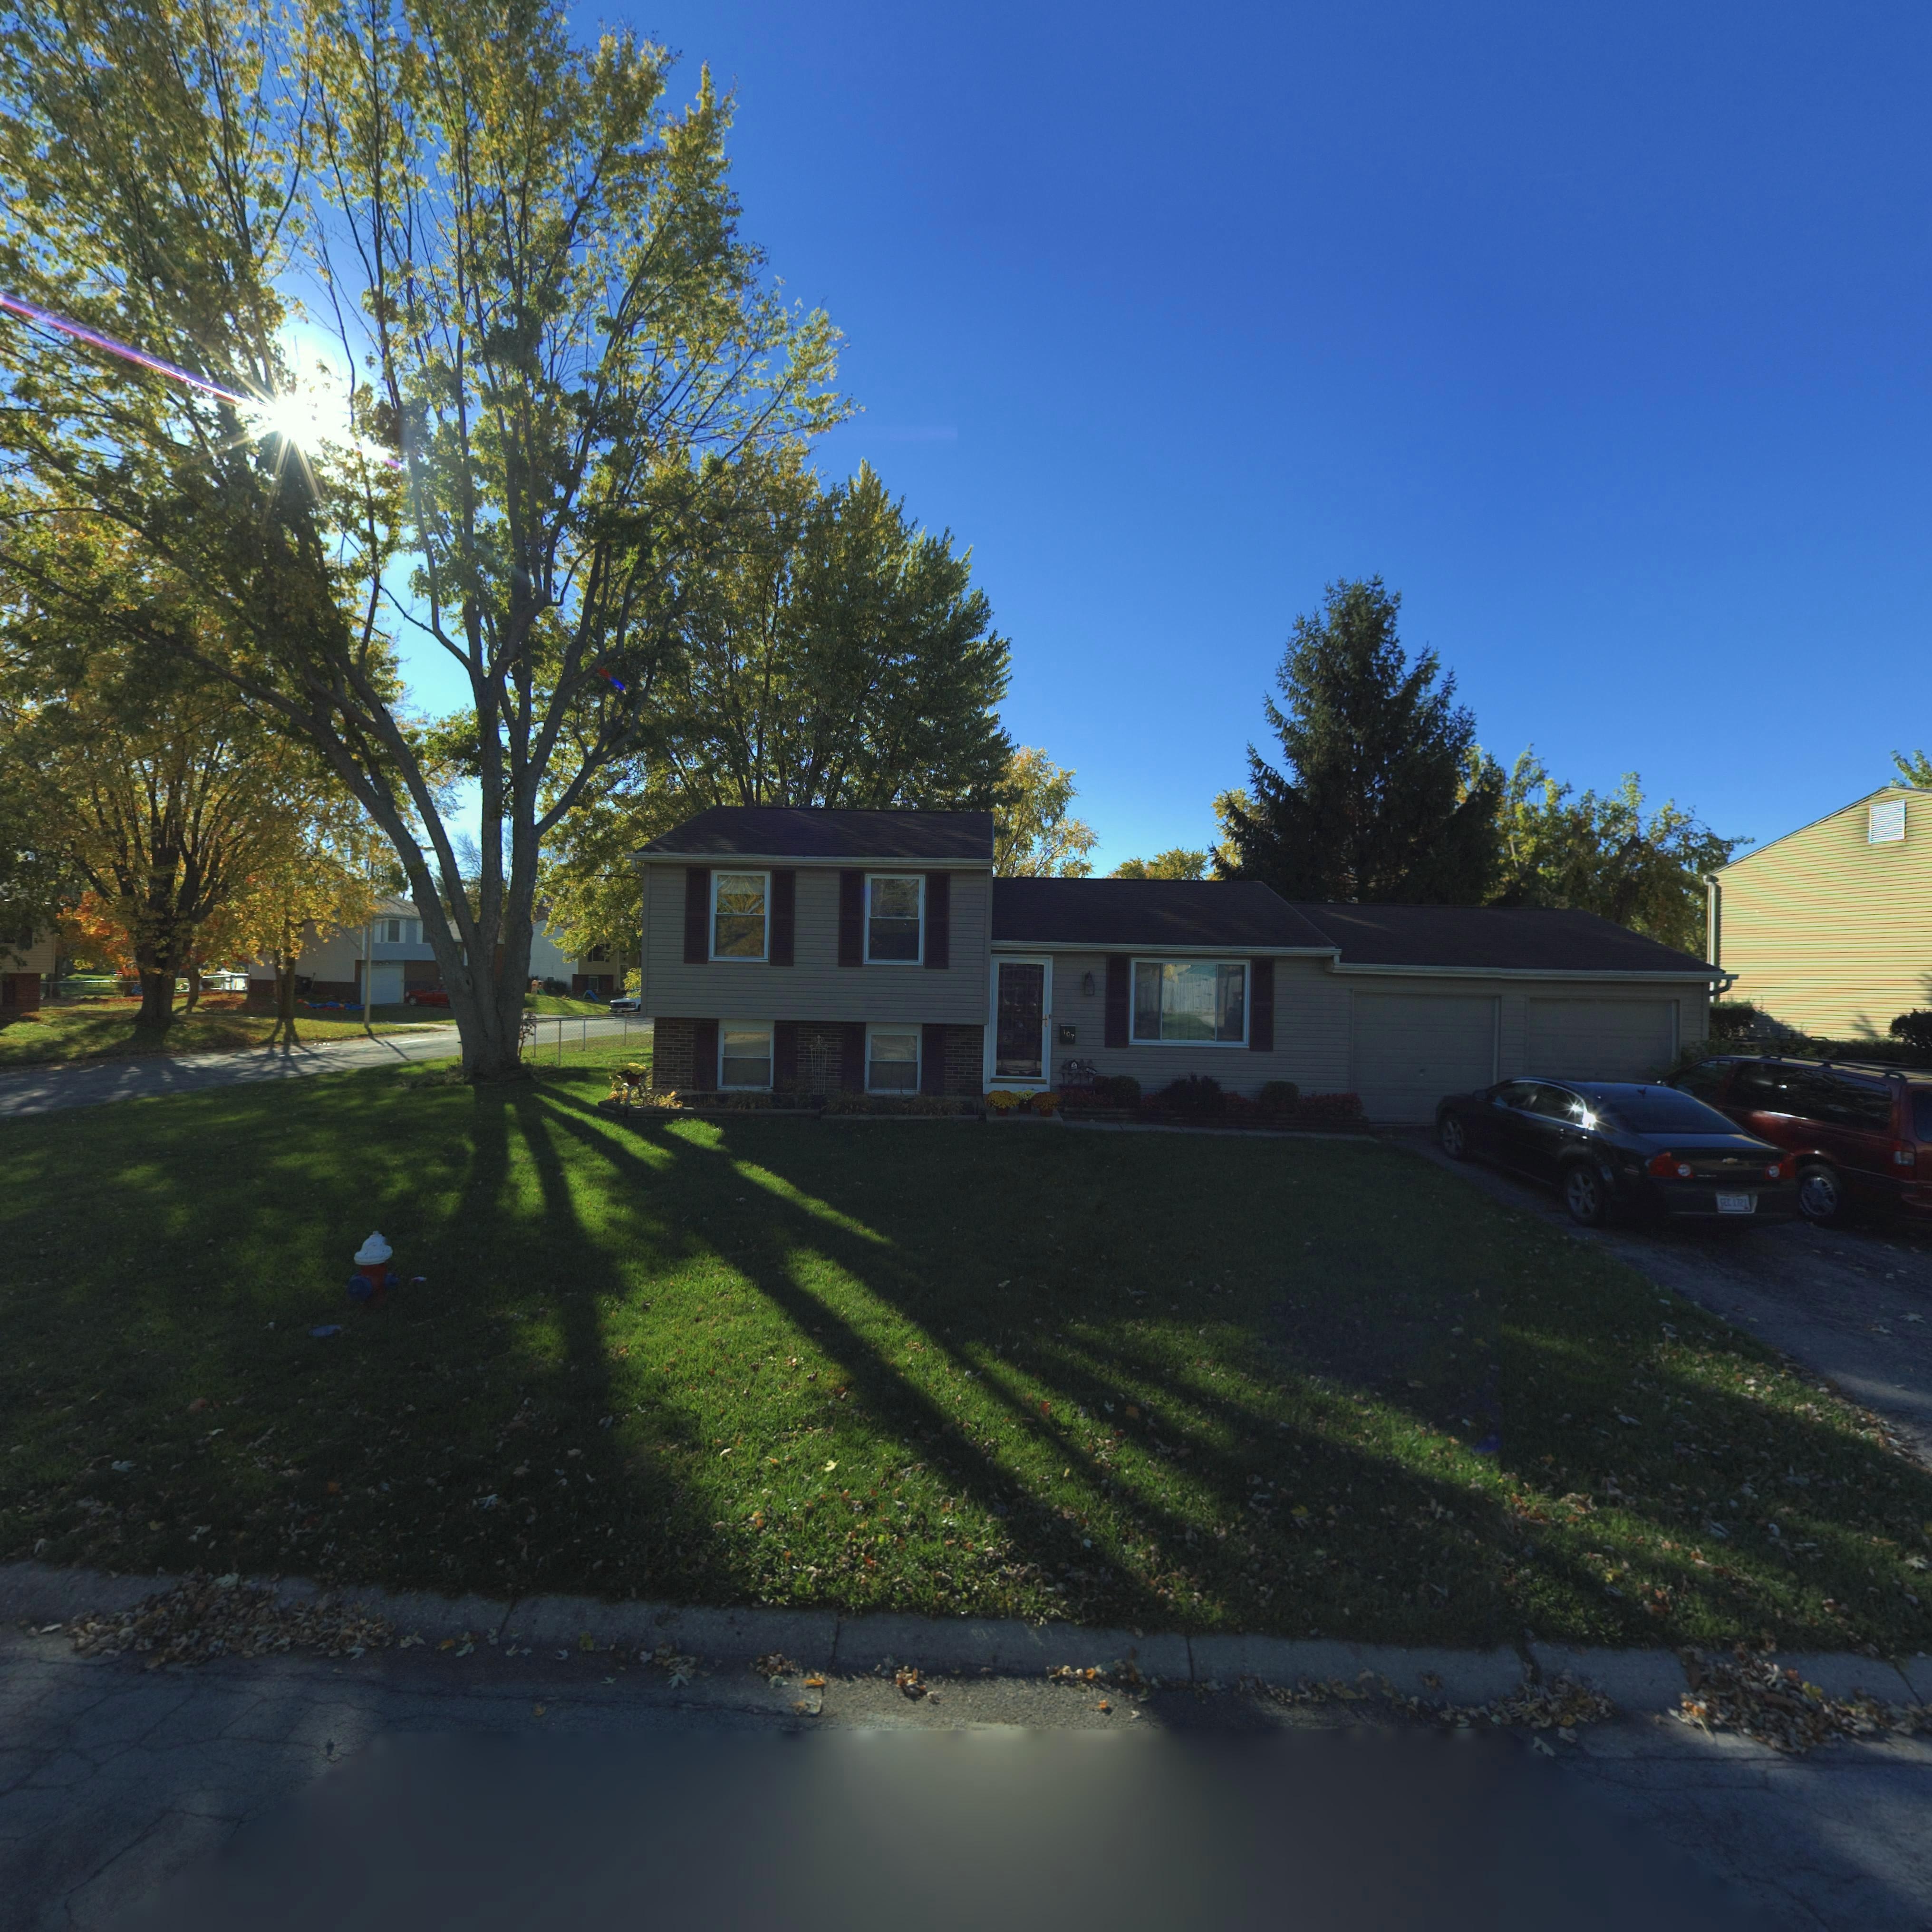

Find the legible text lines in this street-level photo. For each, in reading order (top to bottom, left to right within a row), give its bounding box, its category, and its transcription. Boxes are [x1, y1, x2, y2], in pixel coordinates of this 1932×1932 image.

[1063, 1029, 1075, 1040] StreetNumber: 107